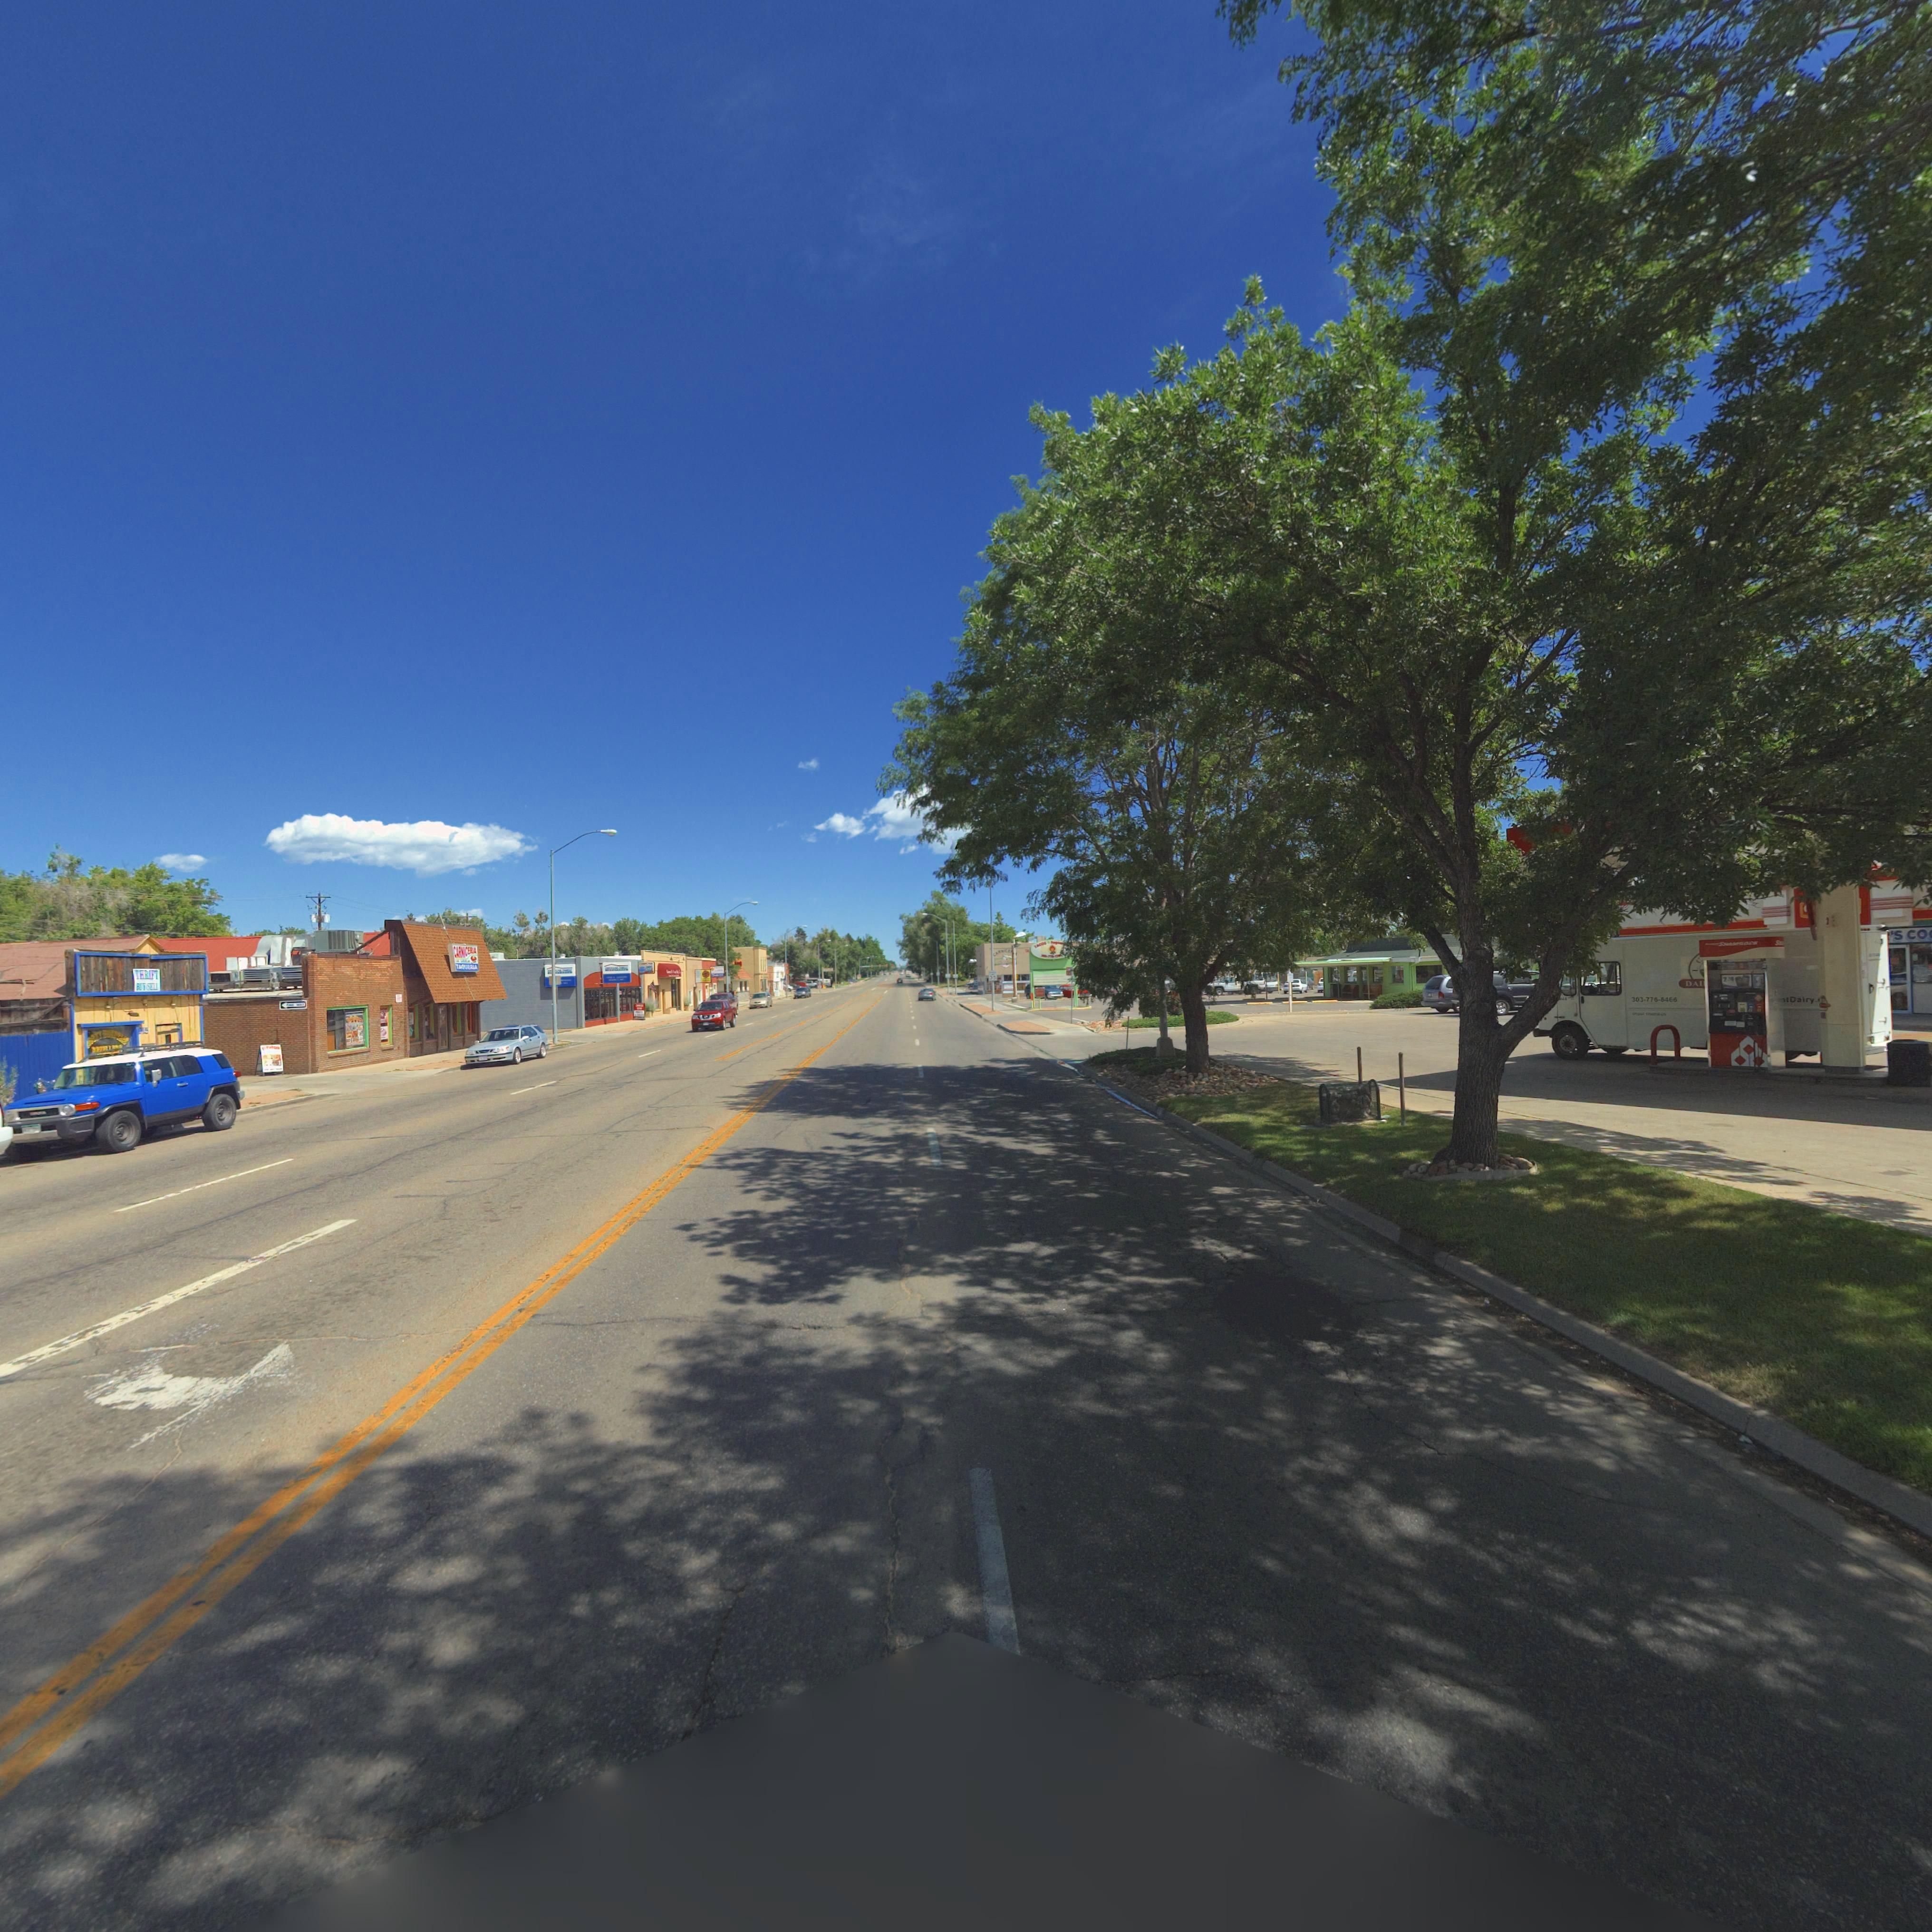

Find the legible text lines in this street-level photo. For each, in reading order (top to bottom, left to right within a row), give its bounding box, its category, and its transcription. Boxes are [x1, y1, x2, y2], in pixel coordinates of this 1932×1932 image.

[1033, 941, 1047, 948] BusinessName: ***O*
[1718, 940, 1758, 947] BusinessName: S****O**
[1774, 939, 1783, 946] BusinessName: S**
[453, 946, 477, 958] BusinessName: CA***ERIA
[992, 948, 1011, 956] BusinessName: *A*****
[454, 963, 478, 970] BusinessName: TA*UE***
[133, 969, 159, 980] BusinessName: T*****
[136, 982, 158, 991] BusinessName: B***S***